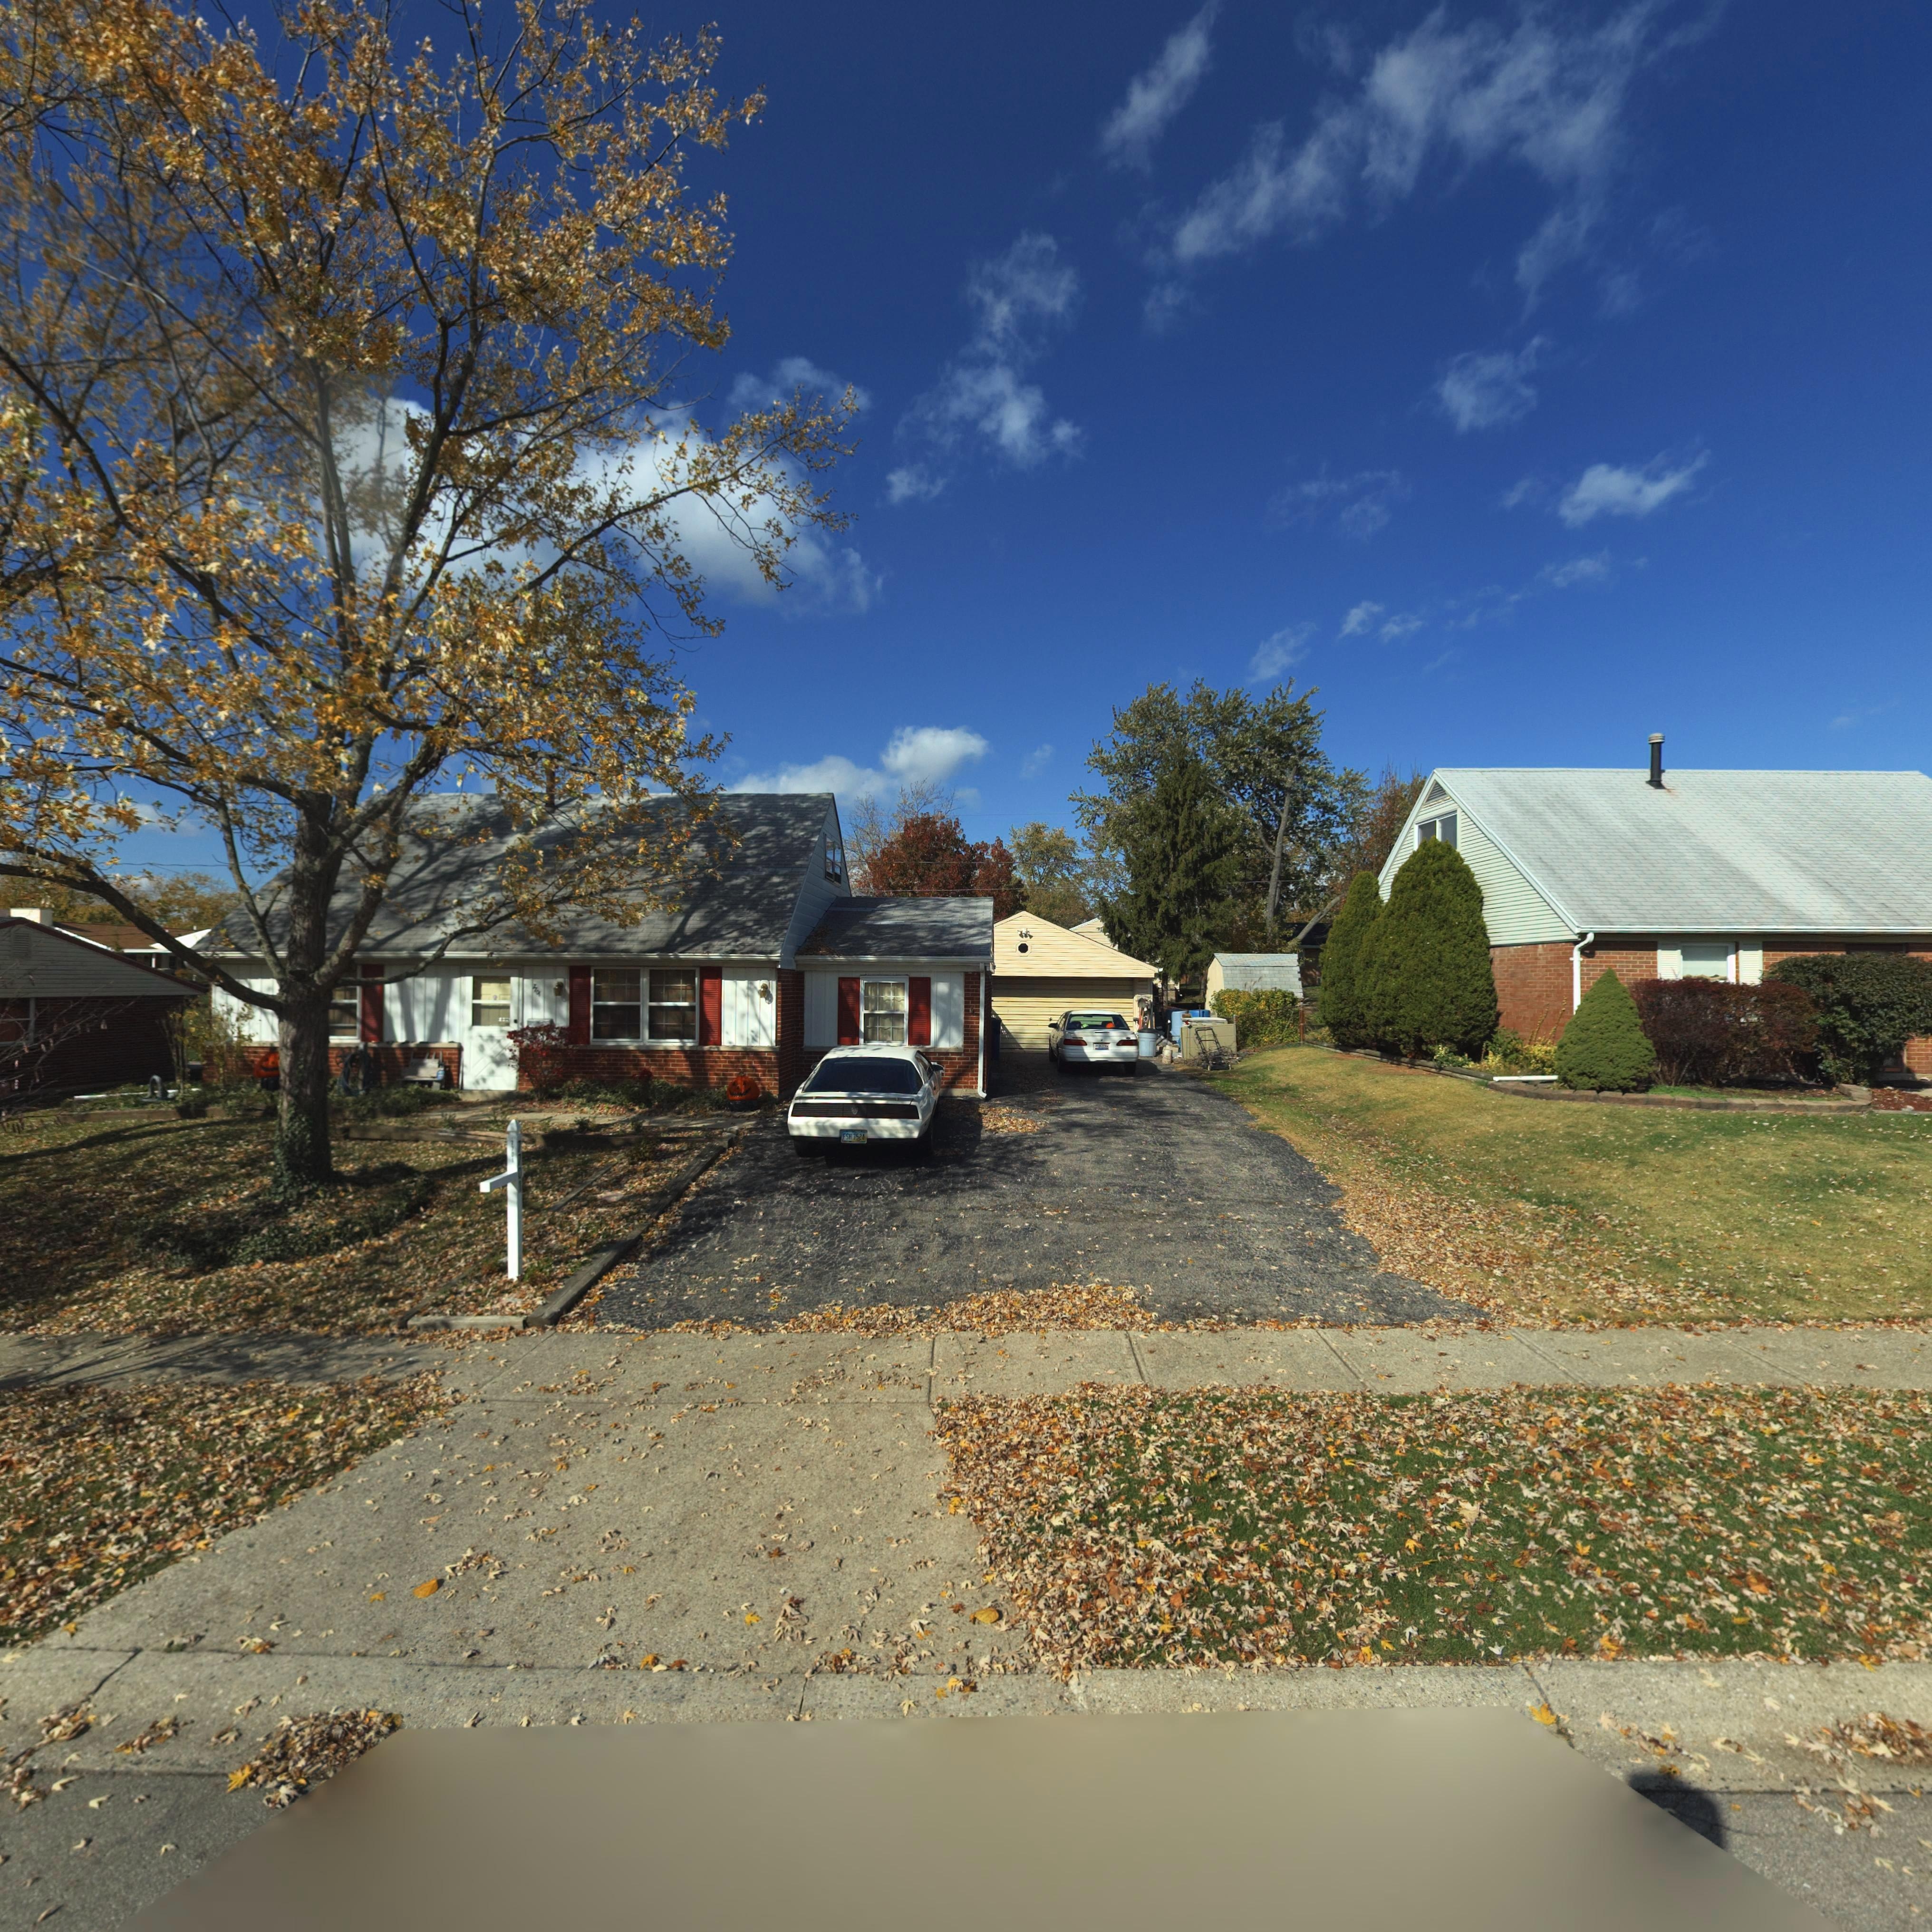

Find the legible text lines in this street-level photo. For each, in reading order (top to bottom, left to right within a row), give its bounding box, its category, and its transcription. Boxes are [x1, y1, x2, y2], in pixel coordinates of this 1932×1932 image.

[532, 983, 541, 997] StreetNumber: 7701
[510, 1139, 515, 1163] StreetNumber: 7701
[517, 1139, 522, 1194] StreetNumber: 7701